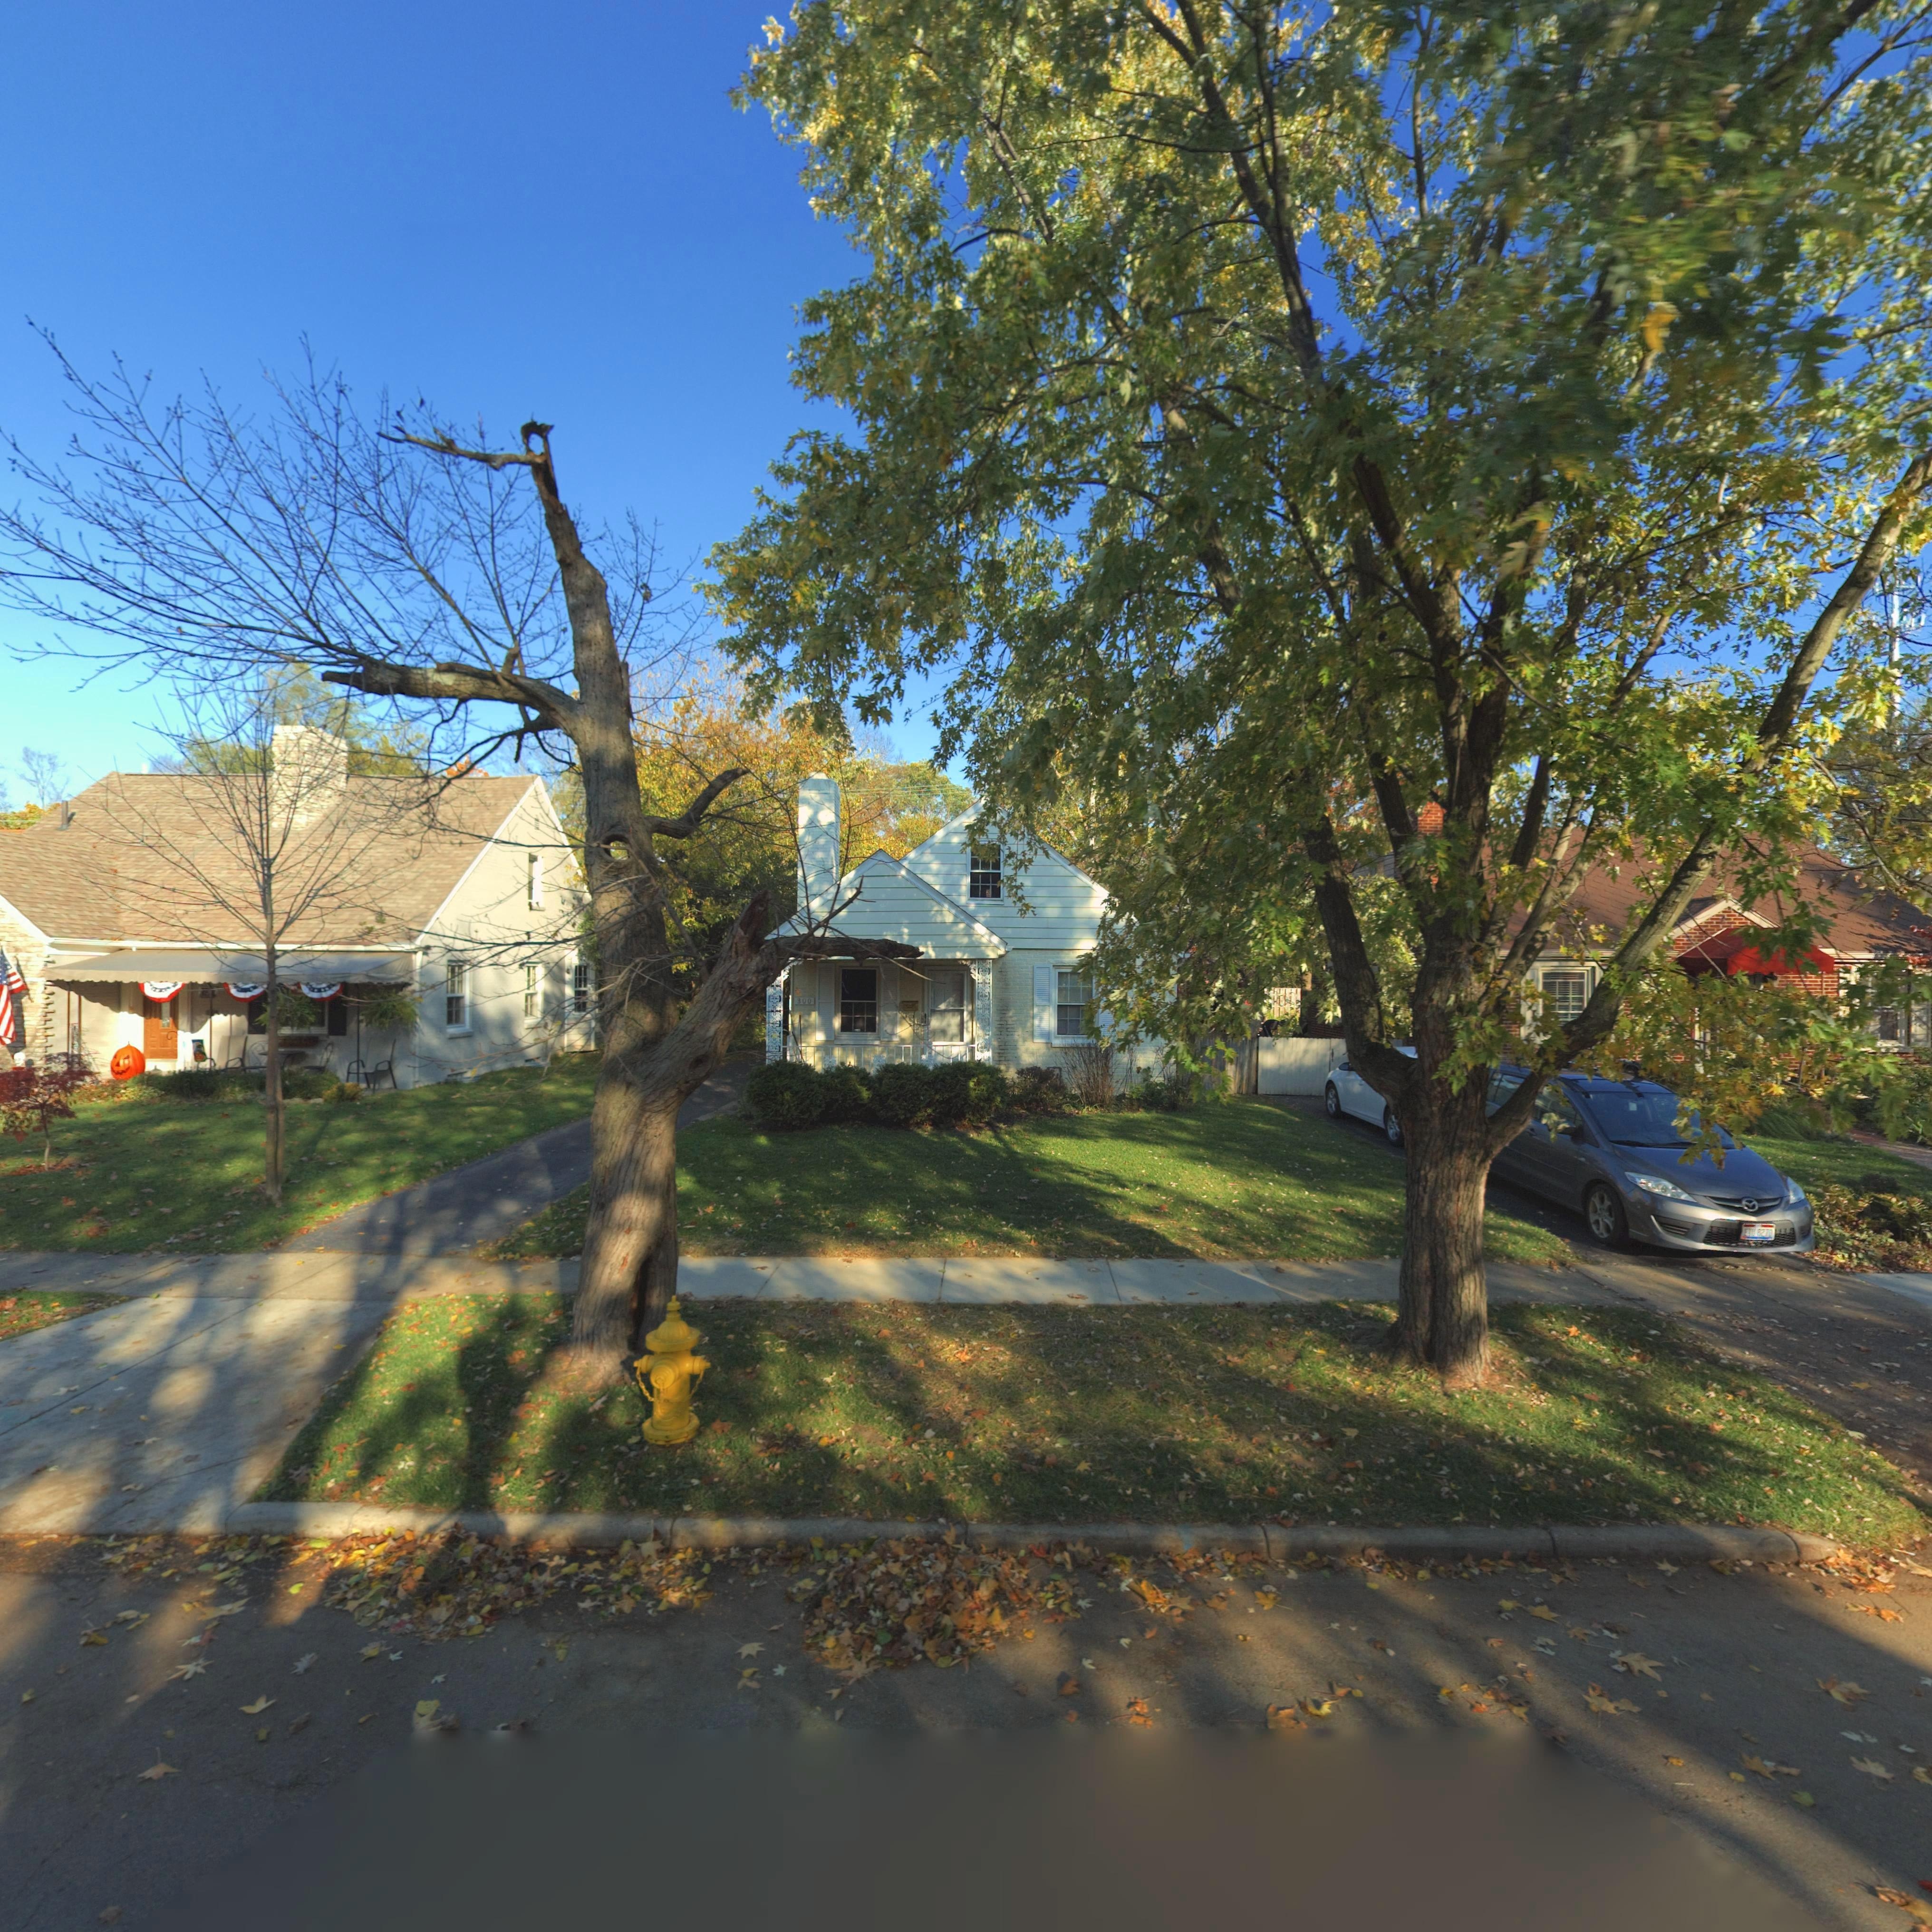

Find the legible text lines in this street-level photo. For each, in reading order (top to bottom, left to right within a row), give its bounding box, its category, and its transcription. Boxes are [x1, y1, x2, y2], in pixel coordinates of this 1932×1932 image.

[797, 998, 811, 1004] StreetNumber: 800